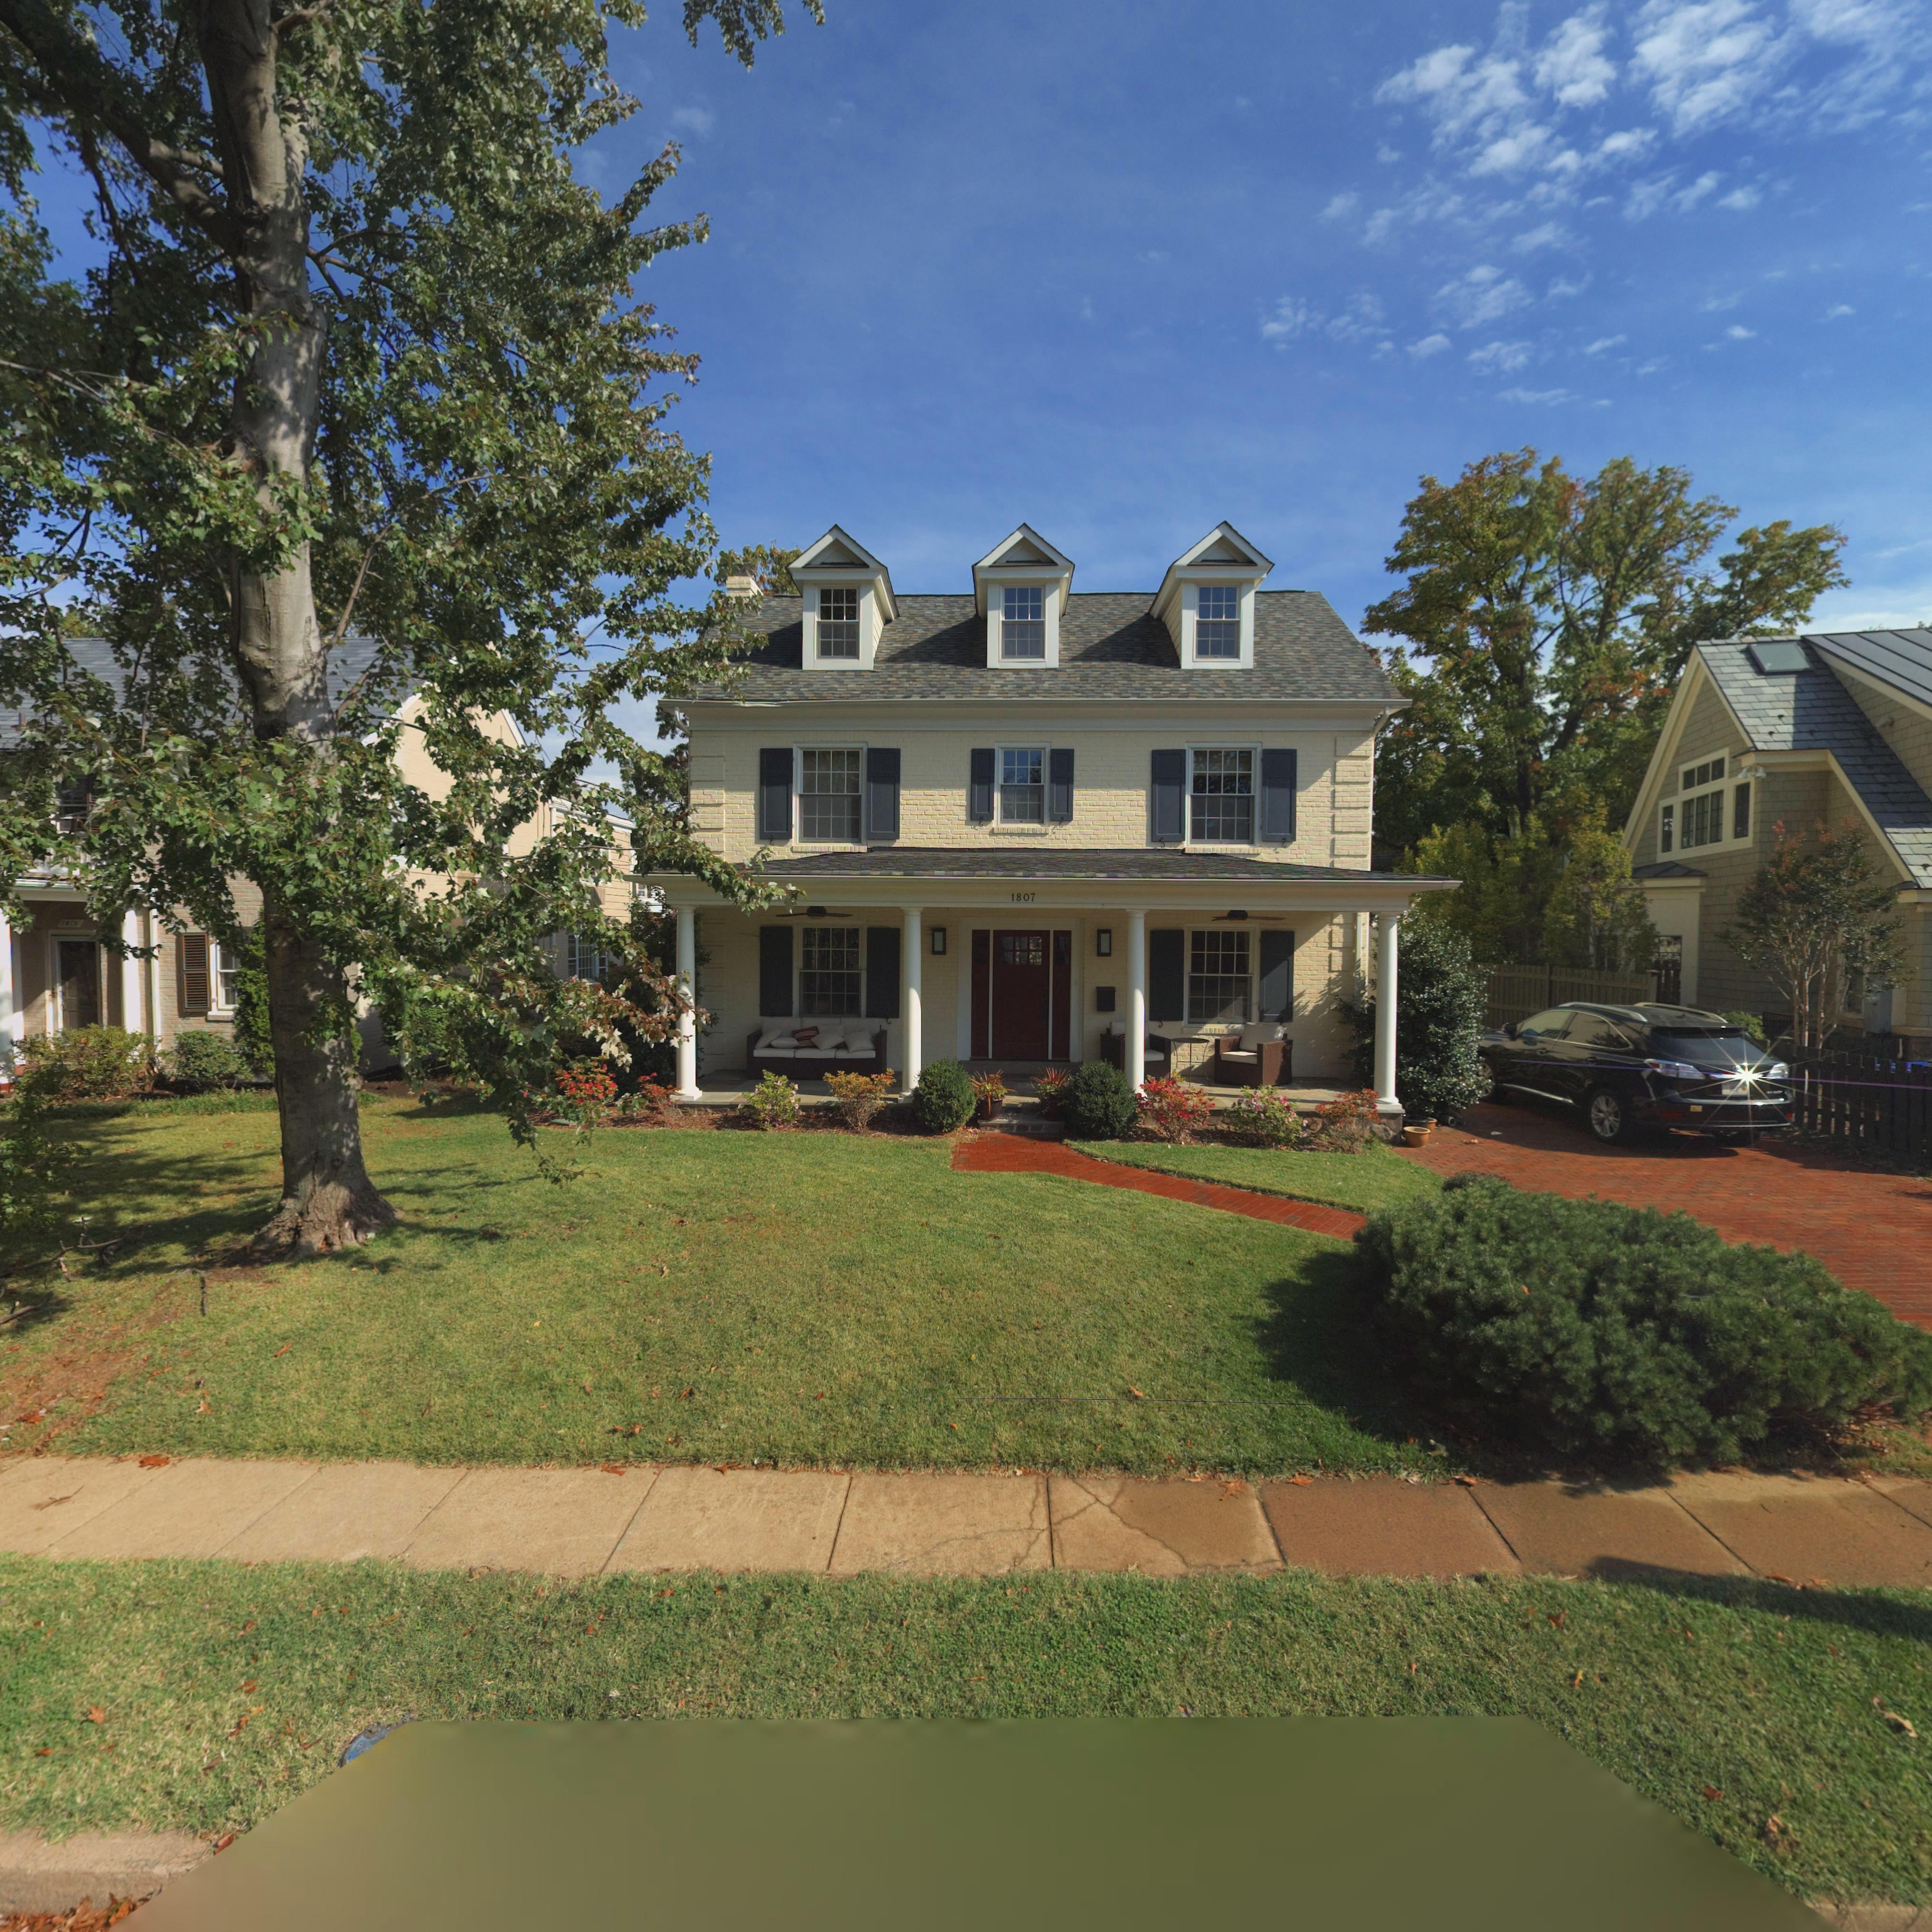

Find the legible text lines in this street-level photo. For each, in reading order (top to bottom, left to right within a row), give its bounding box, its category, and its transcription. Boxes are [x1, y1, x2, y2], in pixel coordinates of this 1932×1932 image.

[1011, 892, 1037, 902] StreetNumber: 1807